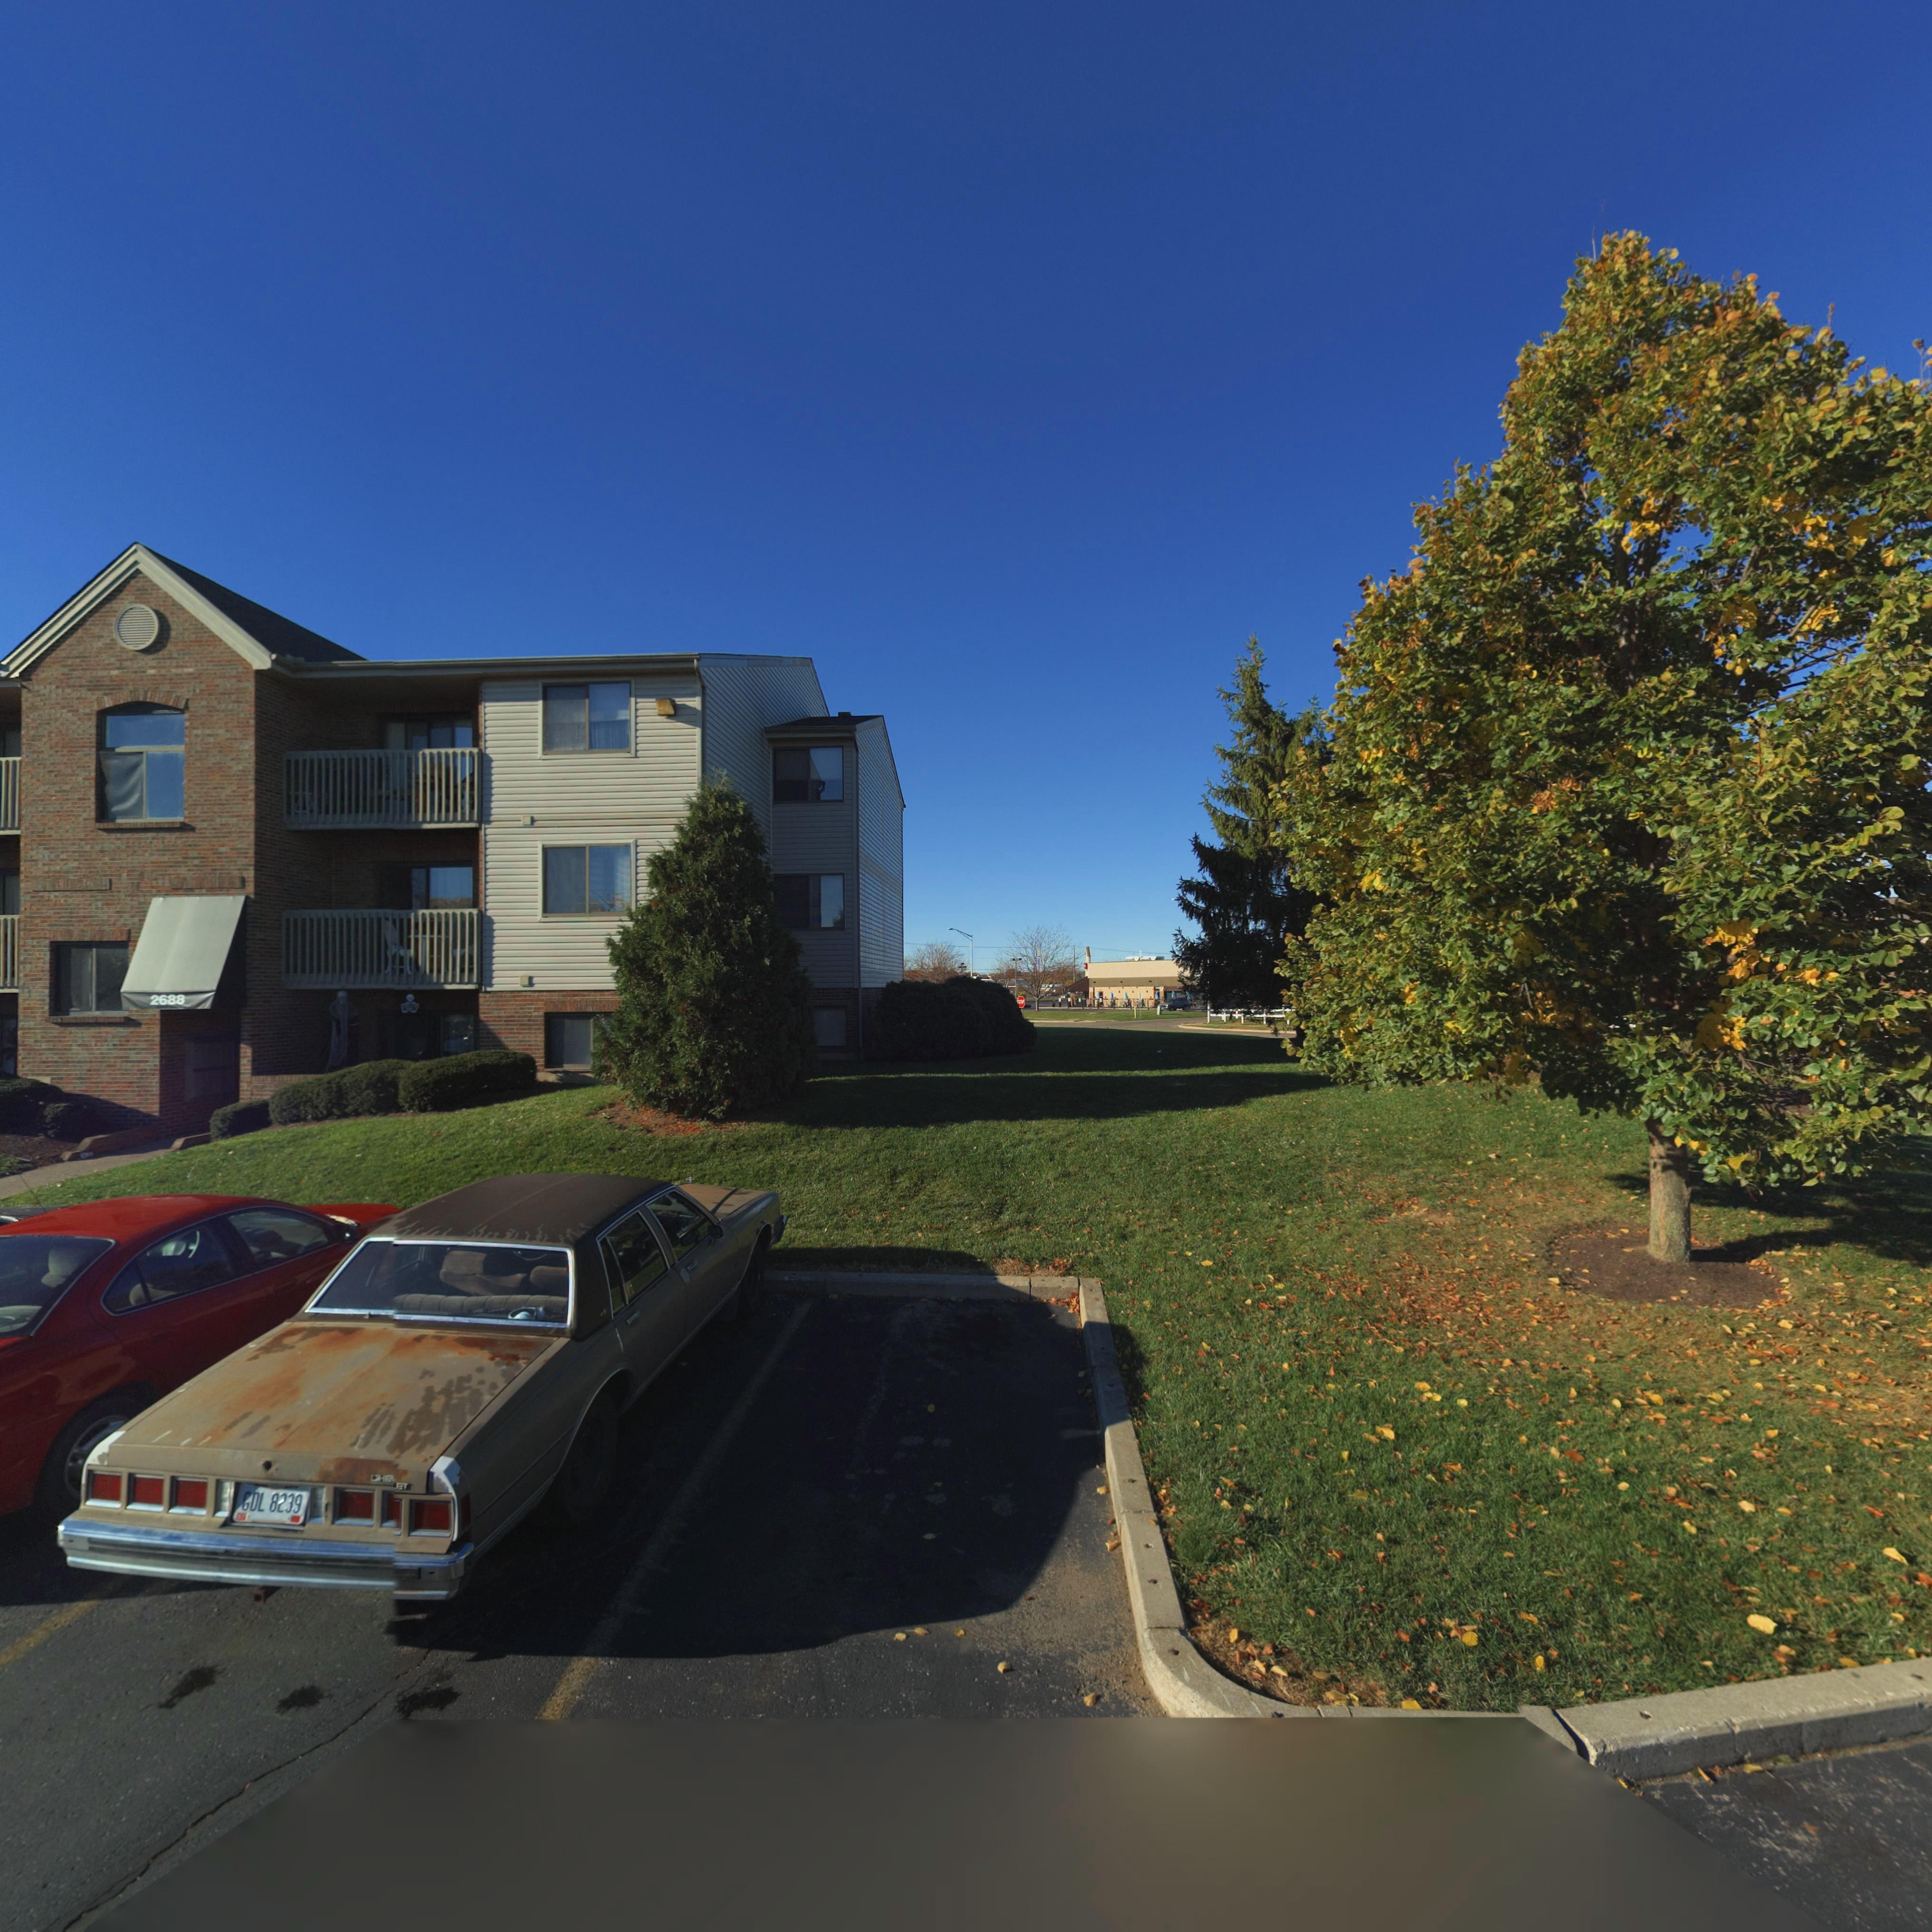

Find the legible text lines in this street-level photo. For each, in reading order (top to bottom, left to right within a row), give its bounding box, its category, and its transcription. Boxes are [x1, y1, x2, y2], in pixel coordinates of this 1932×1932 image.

[148, 994, 186, 1006] StreetNumber: 2688